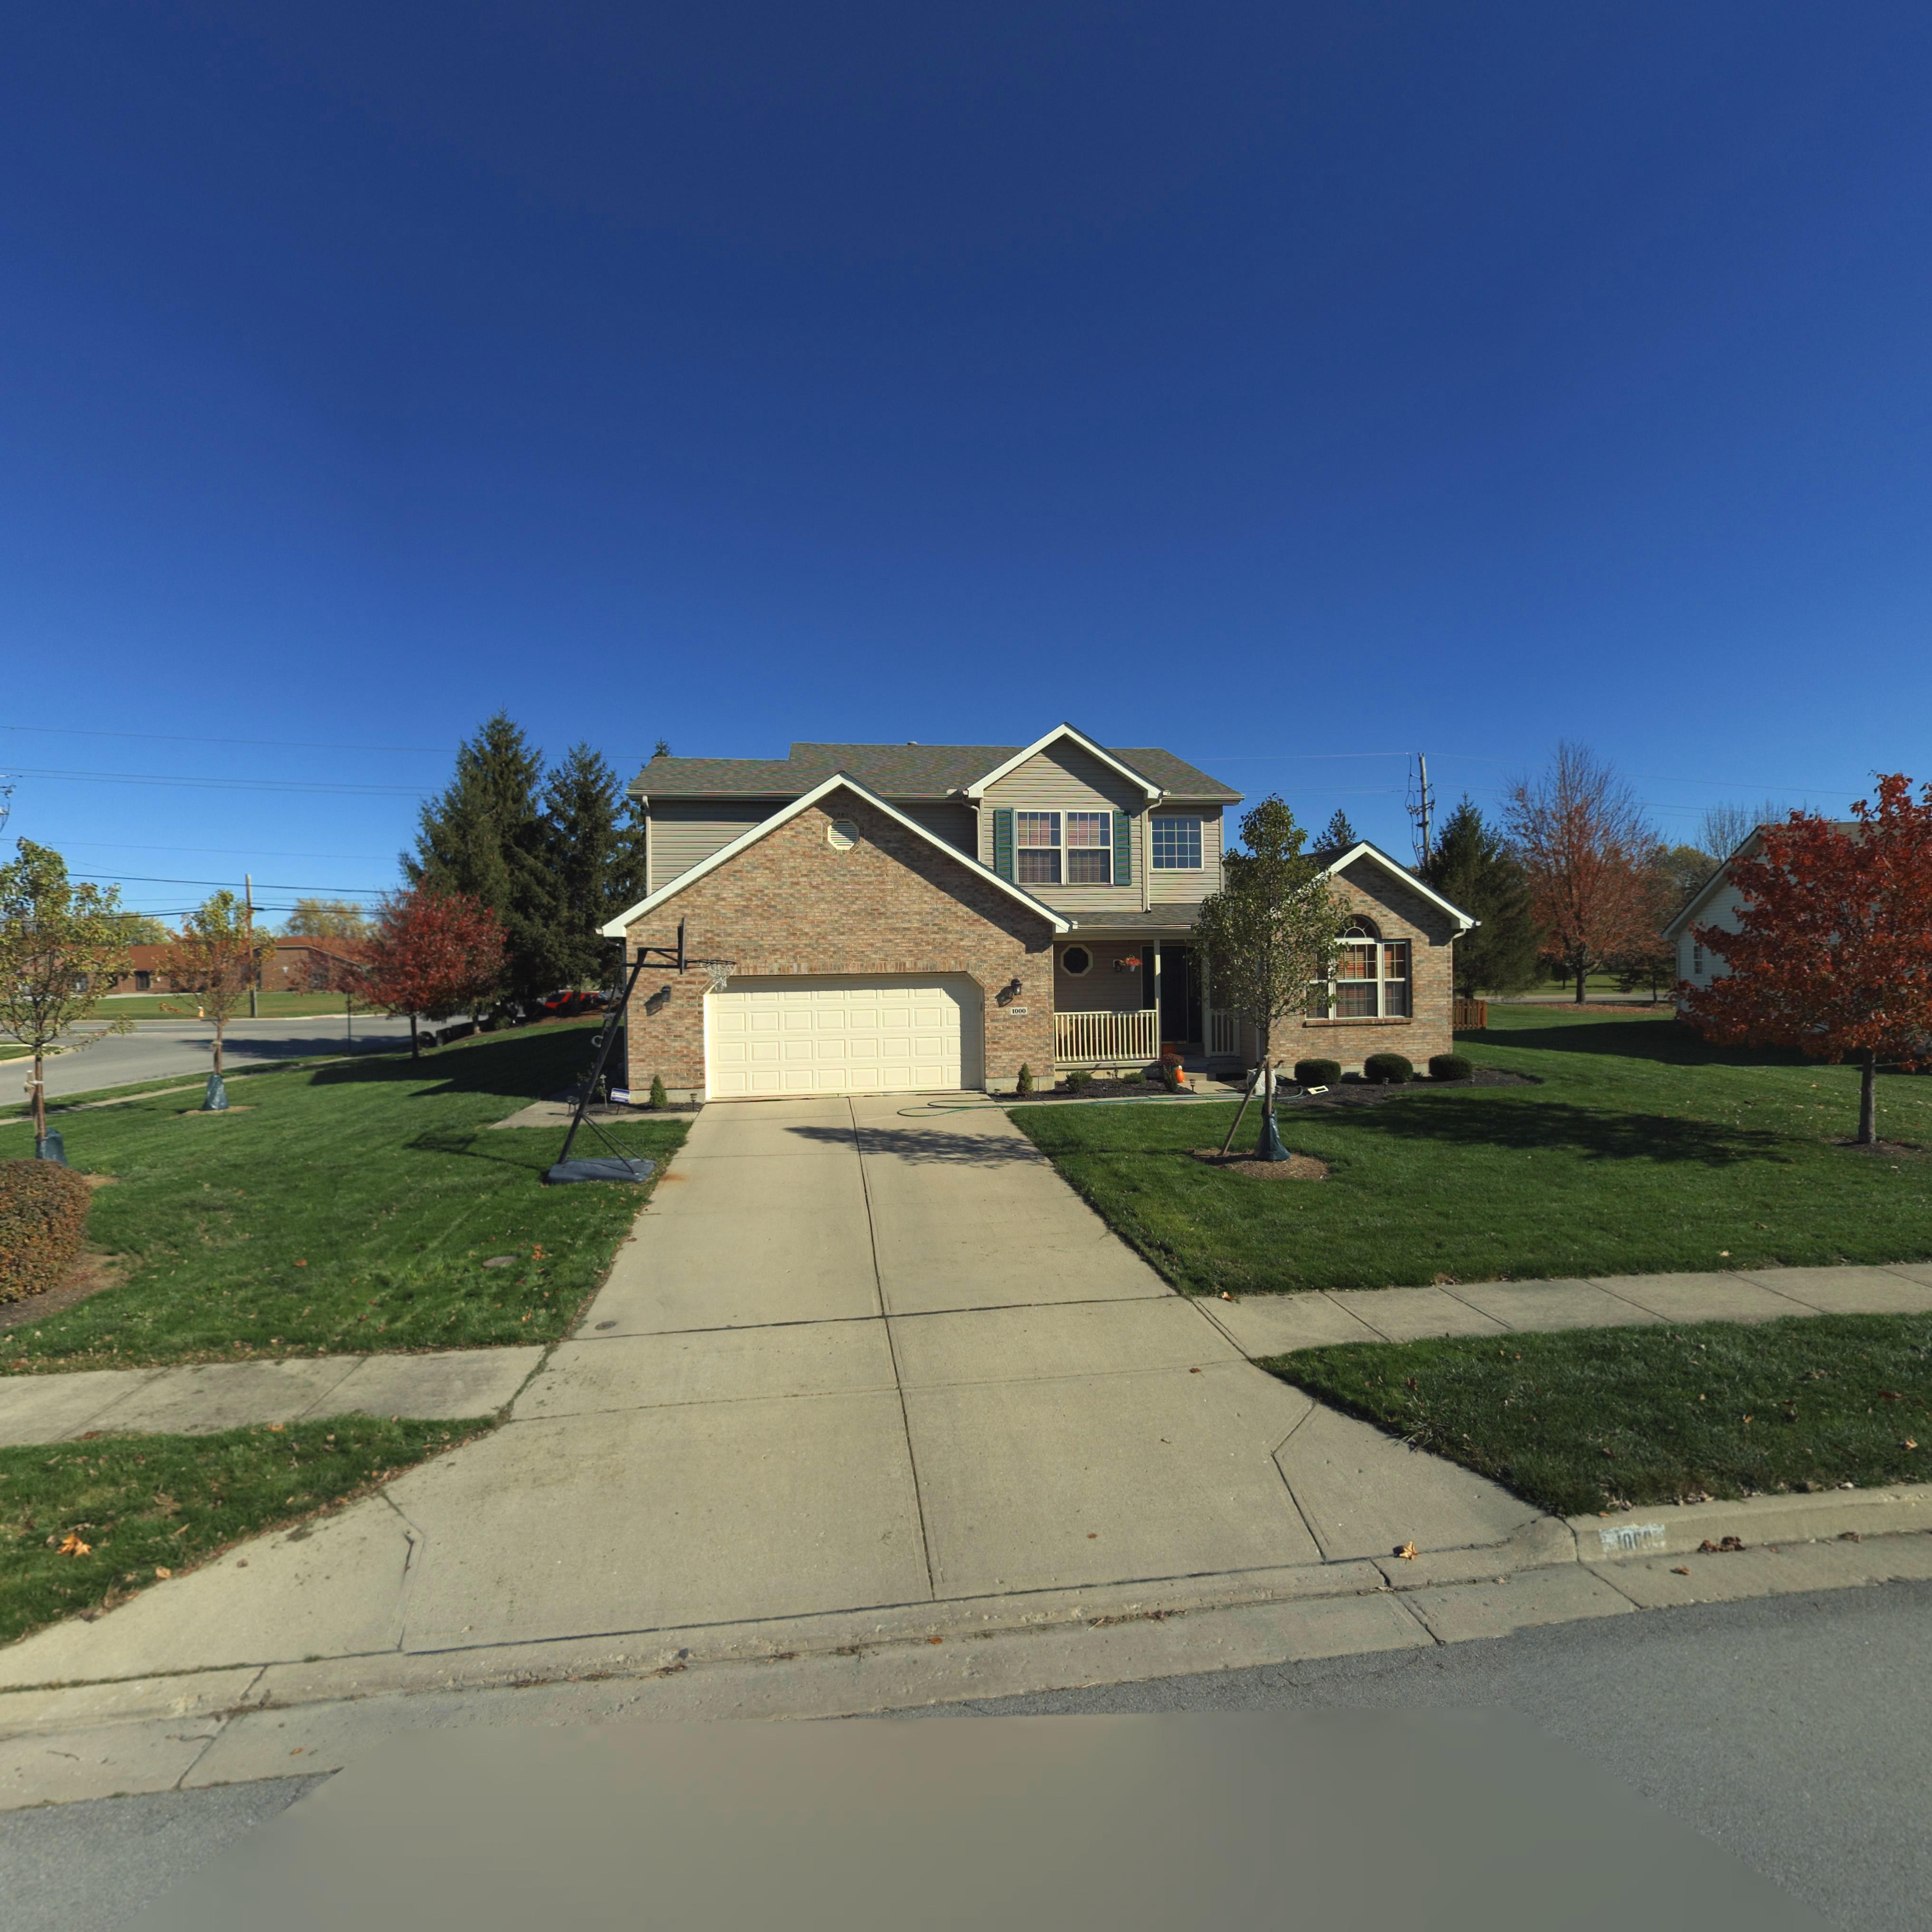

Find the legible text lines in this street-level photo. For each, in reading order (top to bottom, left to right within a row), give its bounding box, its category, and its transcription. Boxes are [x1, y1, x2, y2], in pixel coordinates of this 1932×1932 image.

[1012, 1008, 1026, 1014] StreetNumber: 1000
[1615, 1529, 1655, 1554] StreetNumber: 1000